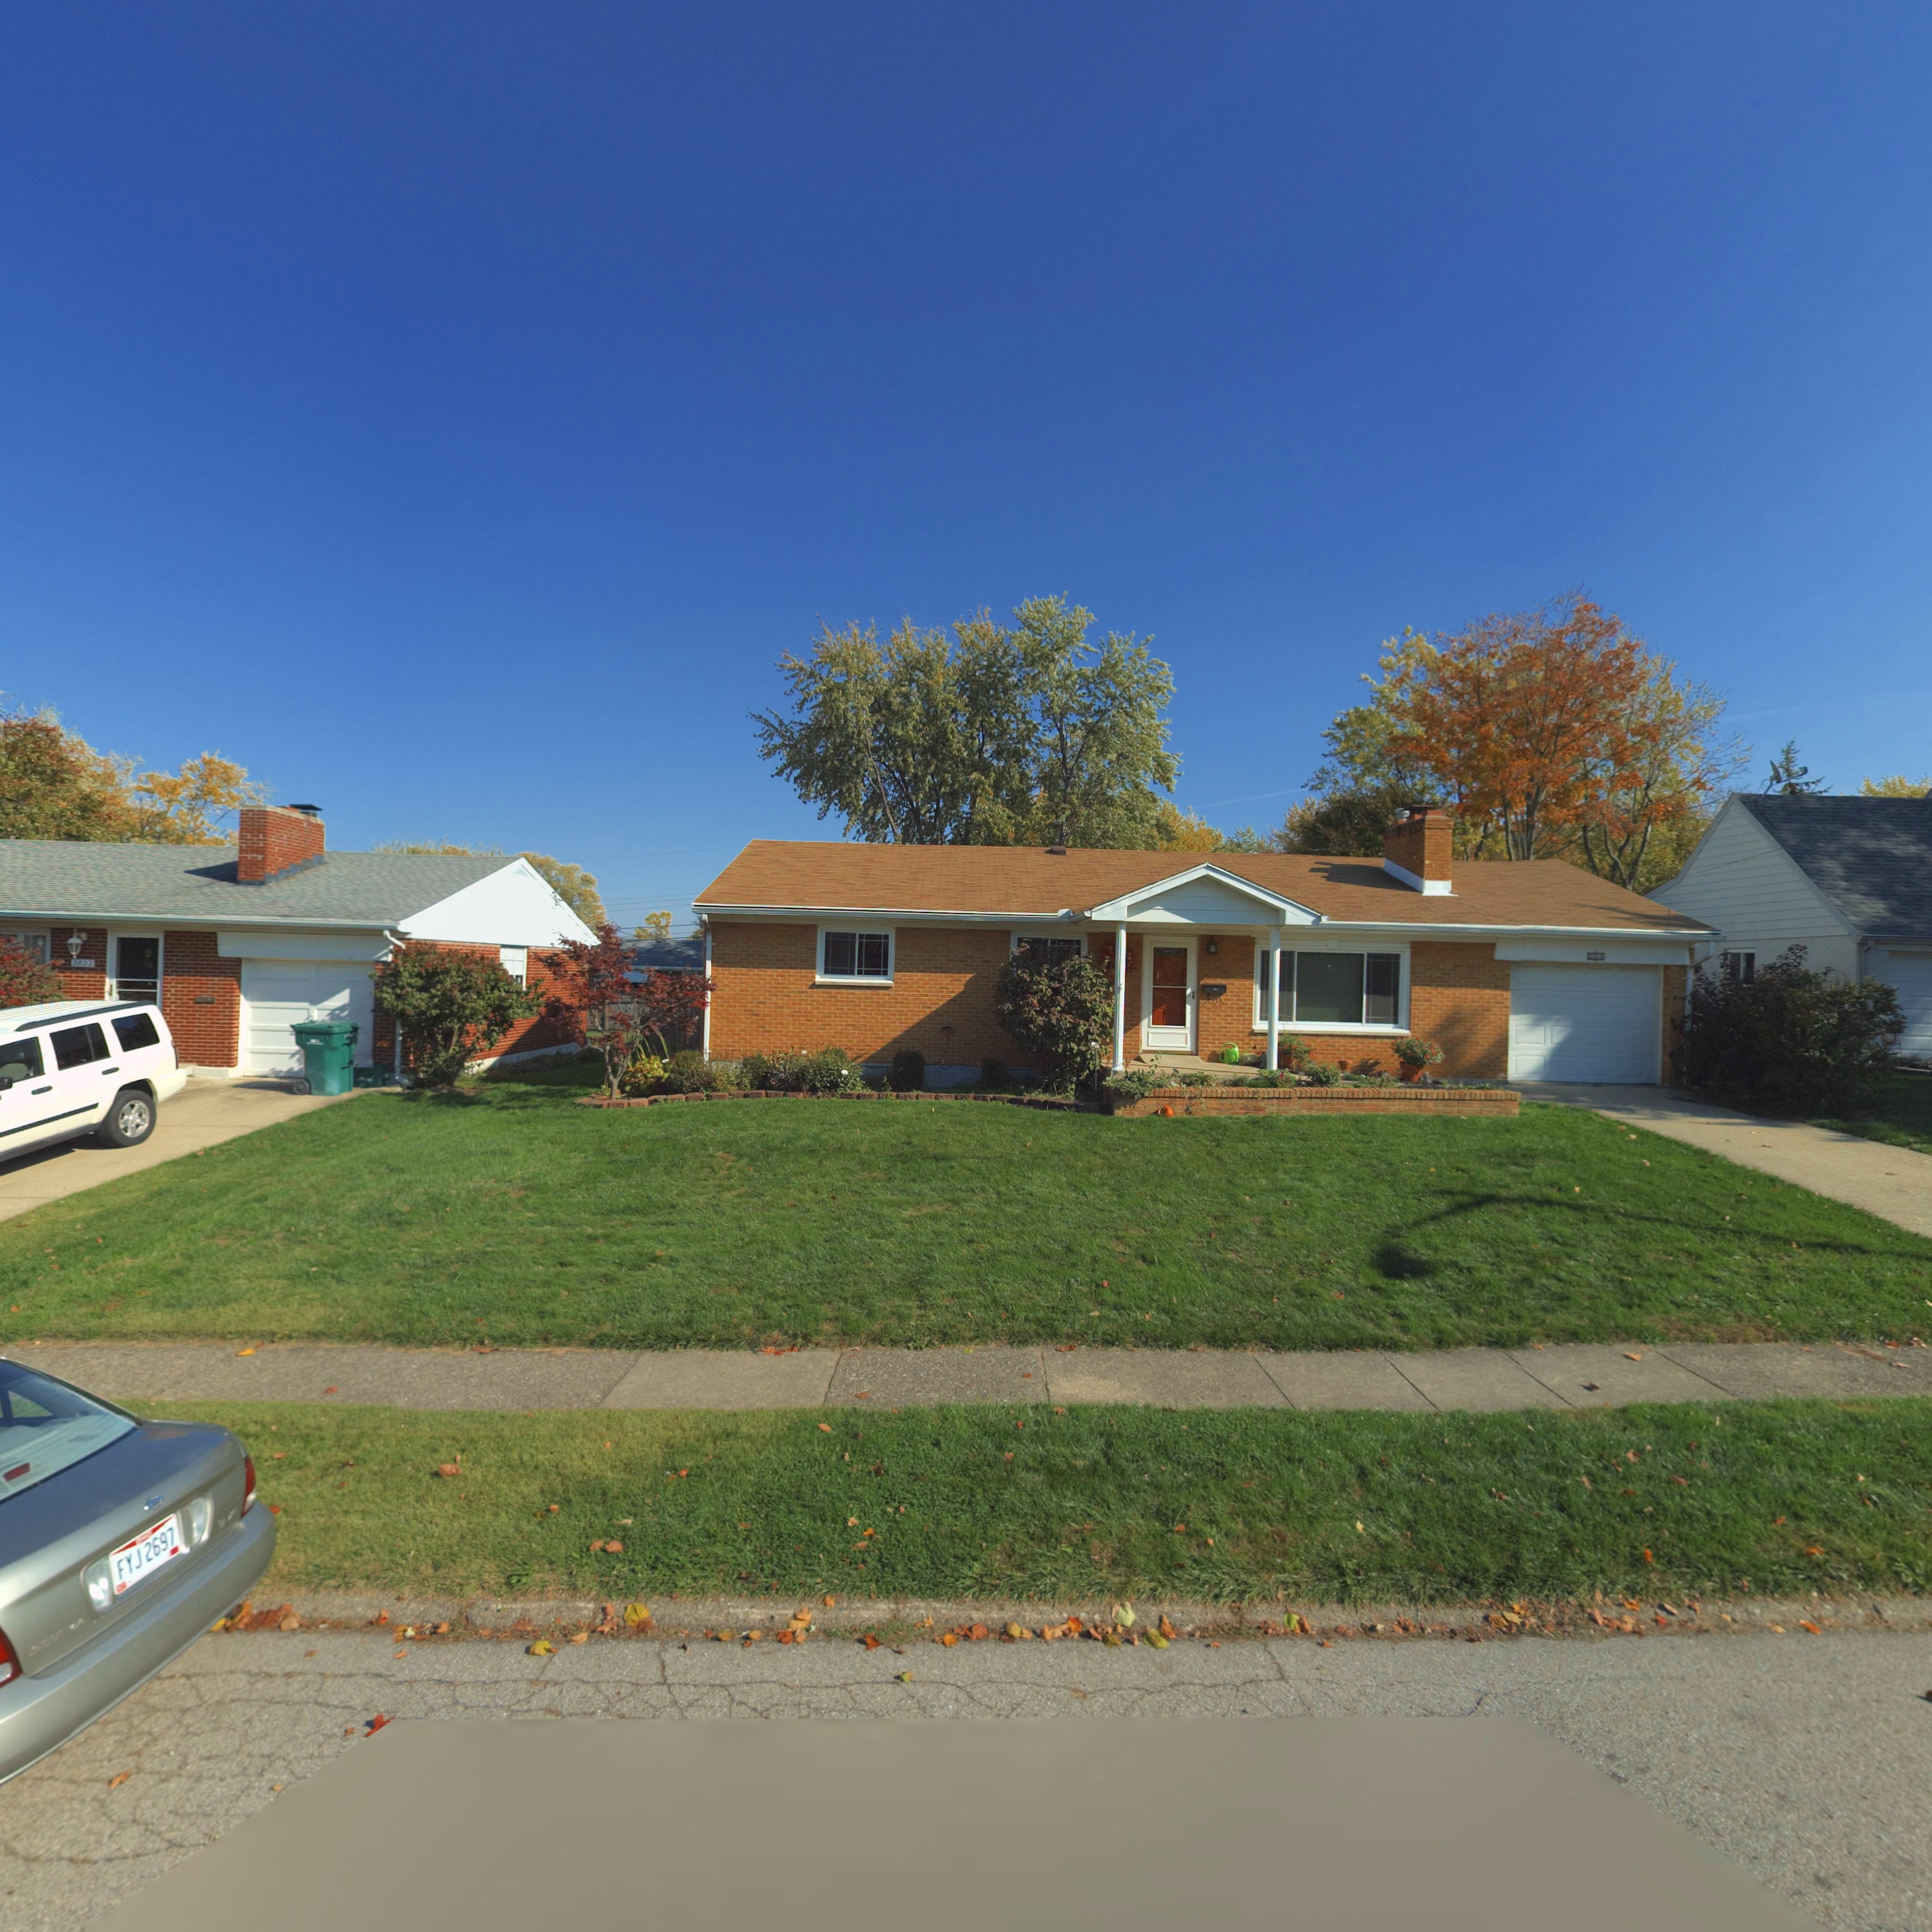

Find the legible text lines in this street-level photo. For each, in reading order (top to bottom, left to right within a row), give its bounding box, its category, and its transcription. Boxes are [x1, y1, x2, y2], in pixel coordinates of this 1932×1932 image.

[70, 959, 94, 966] StreetNumber: 3832
[116, 1525, 174, 1583] None: FYJ*2697